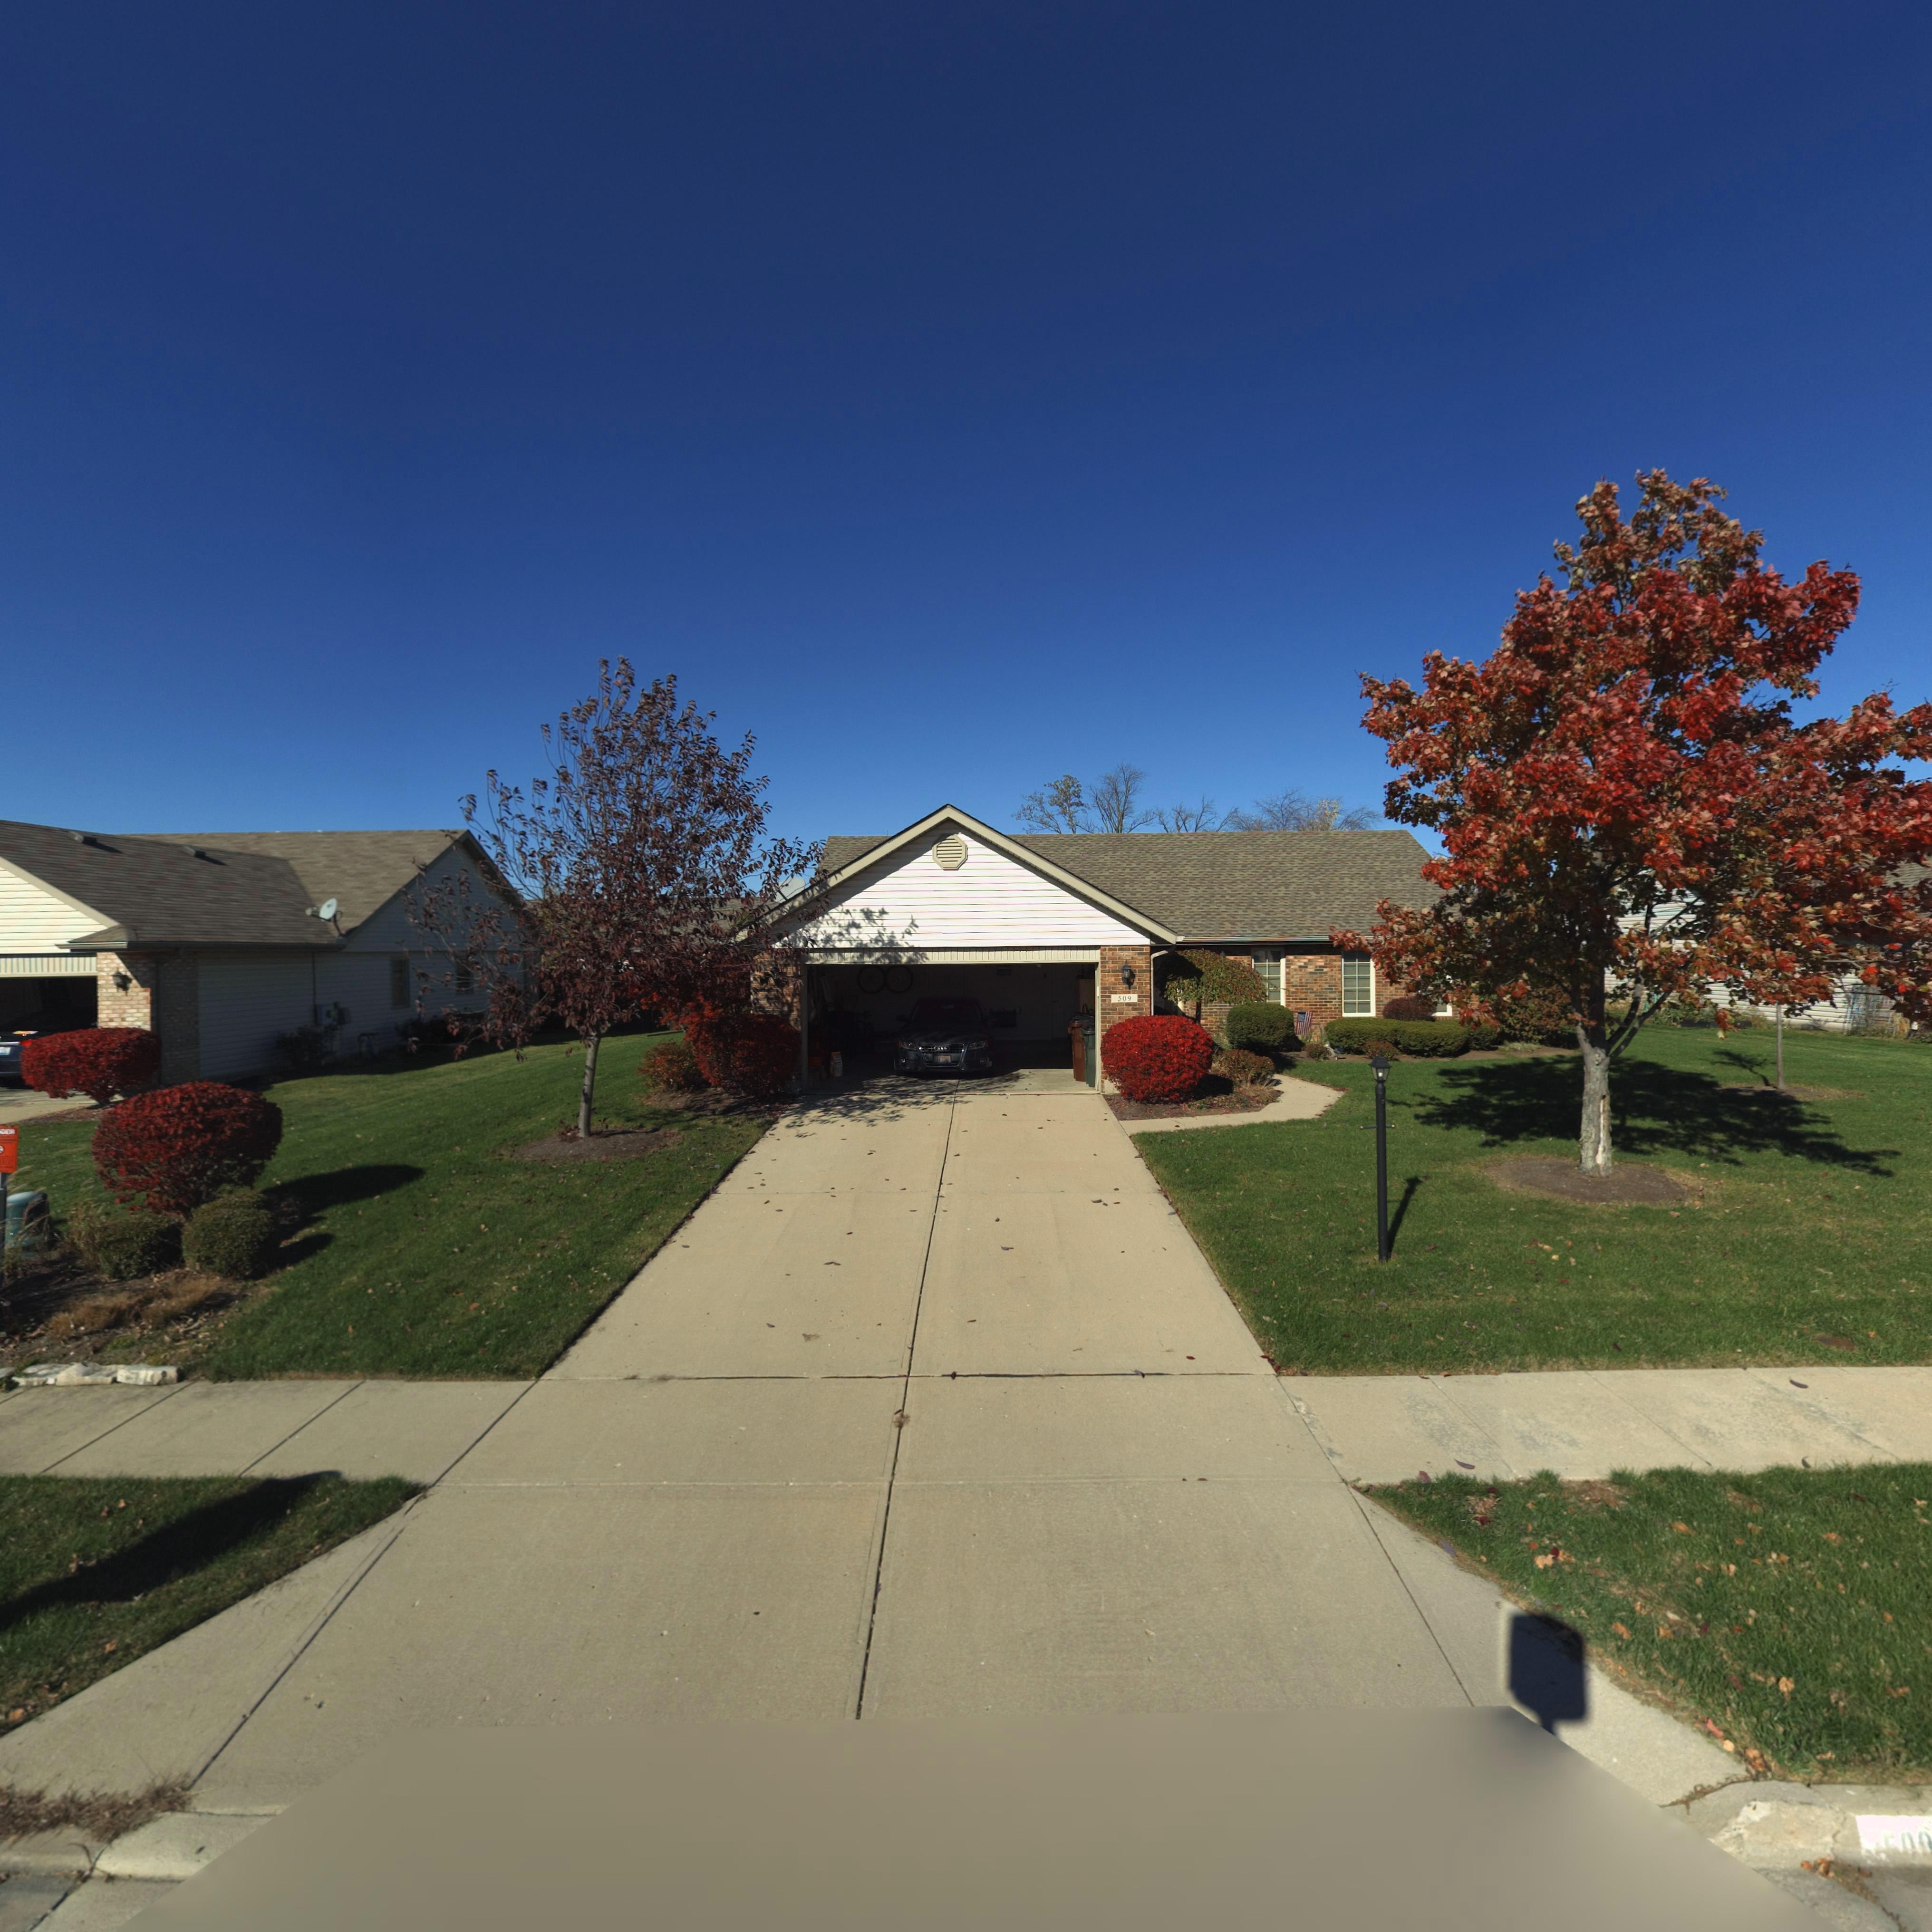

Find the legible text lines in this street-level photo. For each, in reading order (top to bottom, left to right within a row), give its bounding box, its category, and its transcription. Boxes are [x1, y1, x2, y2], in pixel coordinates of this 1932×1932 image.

[1117, 995, 1132, 1003] StreetNumber: 509